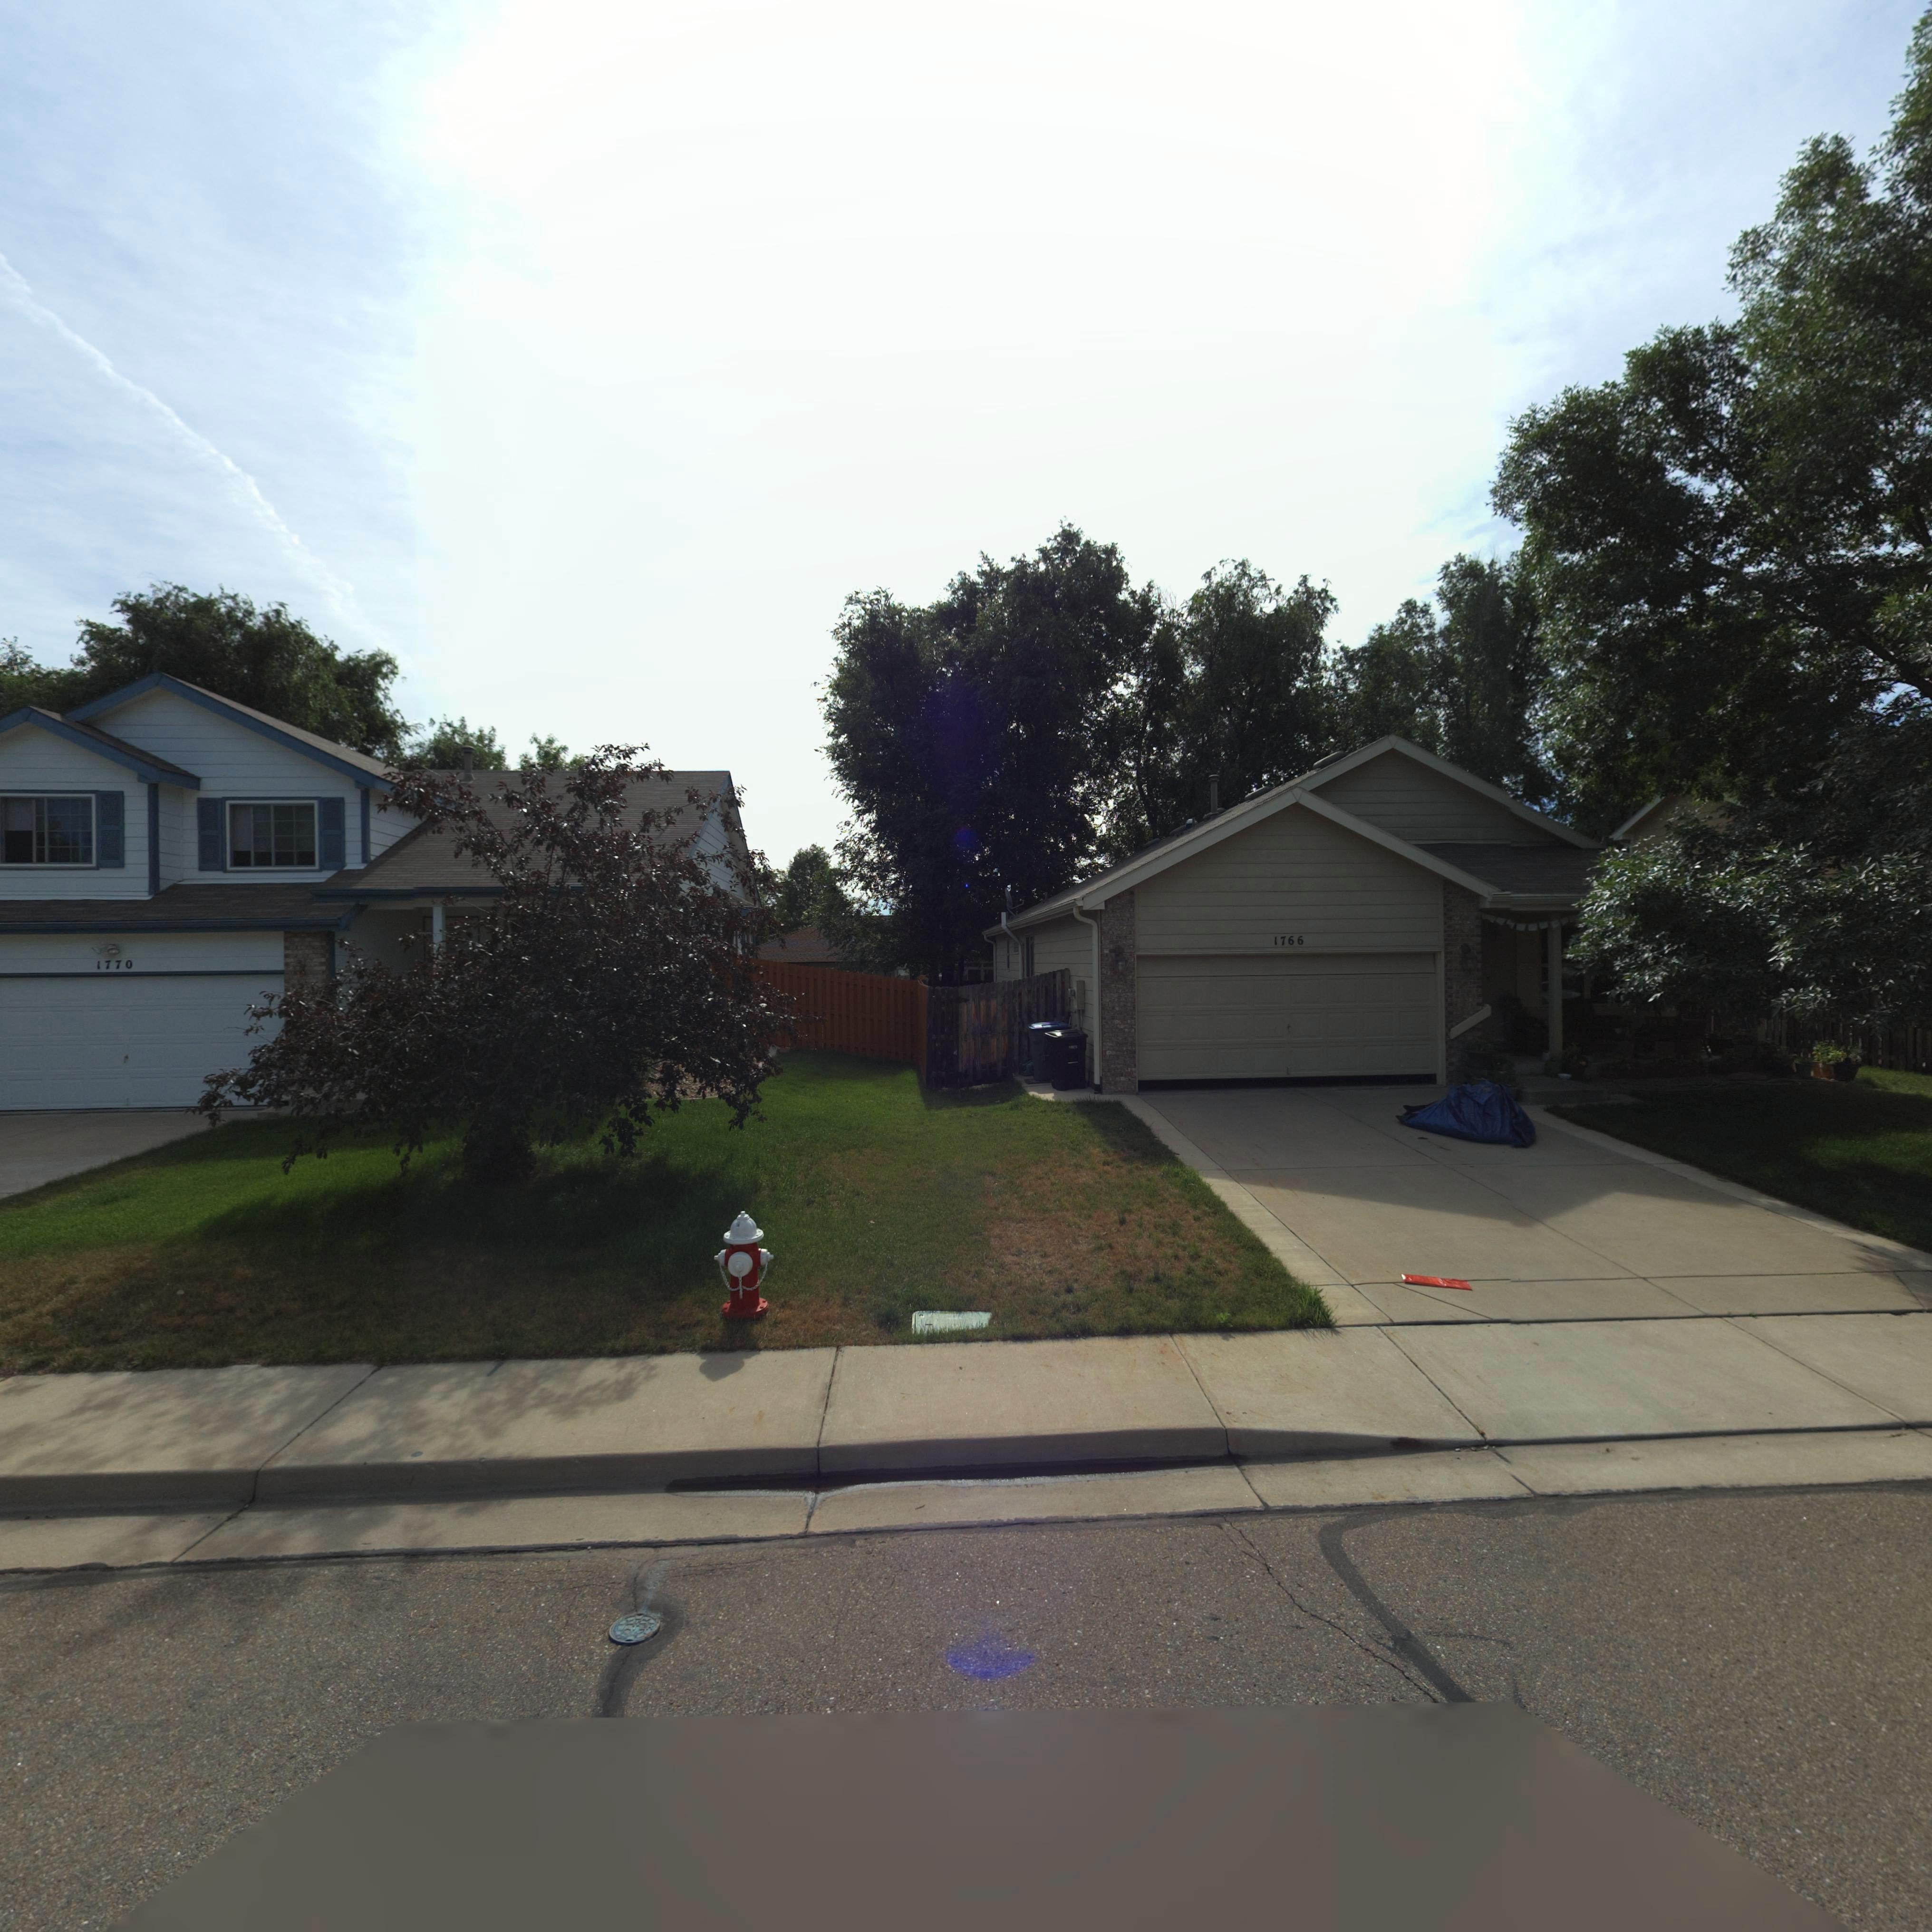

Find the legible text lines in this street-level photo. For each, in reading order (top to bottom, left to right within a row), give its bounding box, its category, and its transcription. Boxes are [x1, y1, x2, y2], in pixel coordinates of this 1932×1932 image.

[1273, 935, 1304, 946] StreetNumber: 1766
[97, 959, 133, 970] StreetNumber: 1770